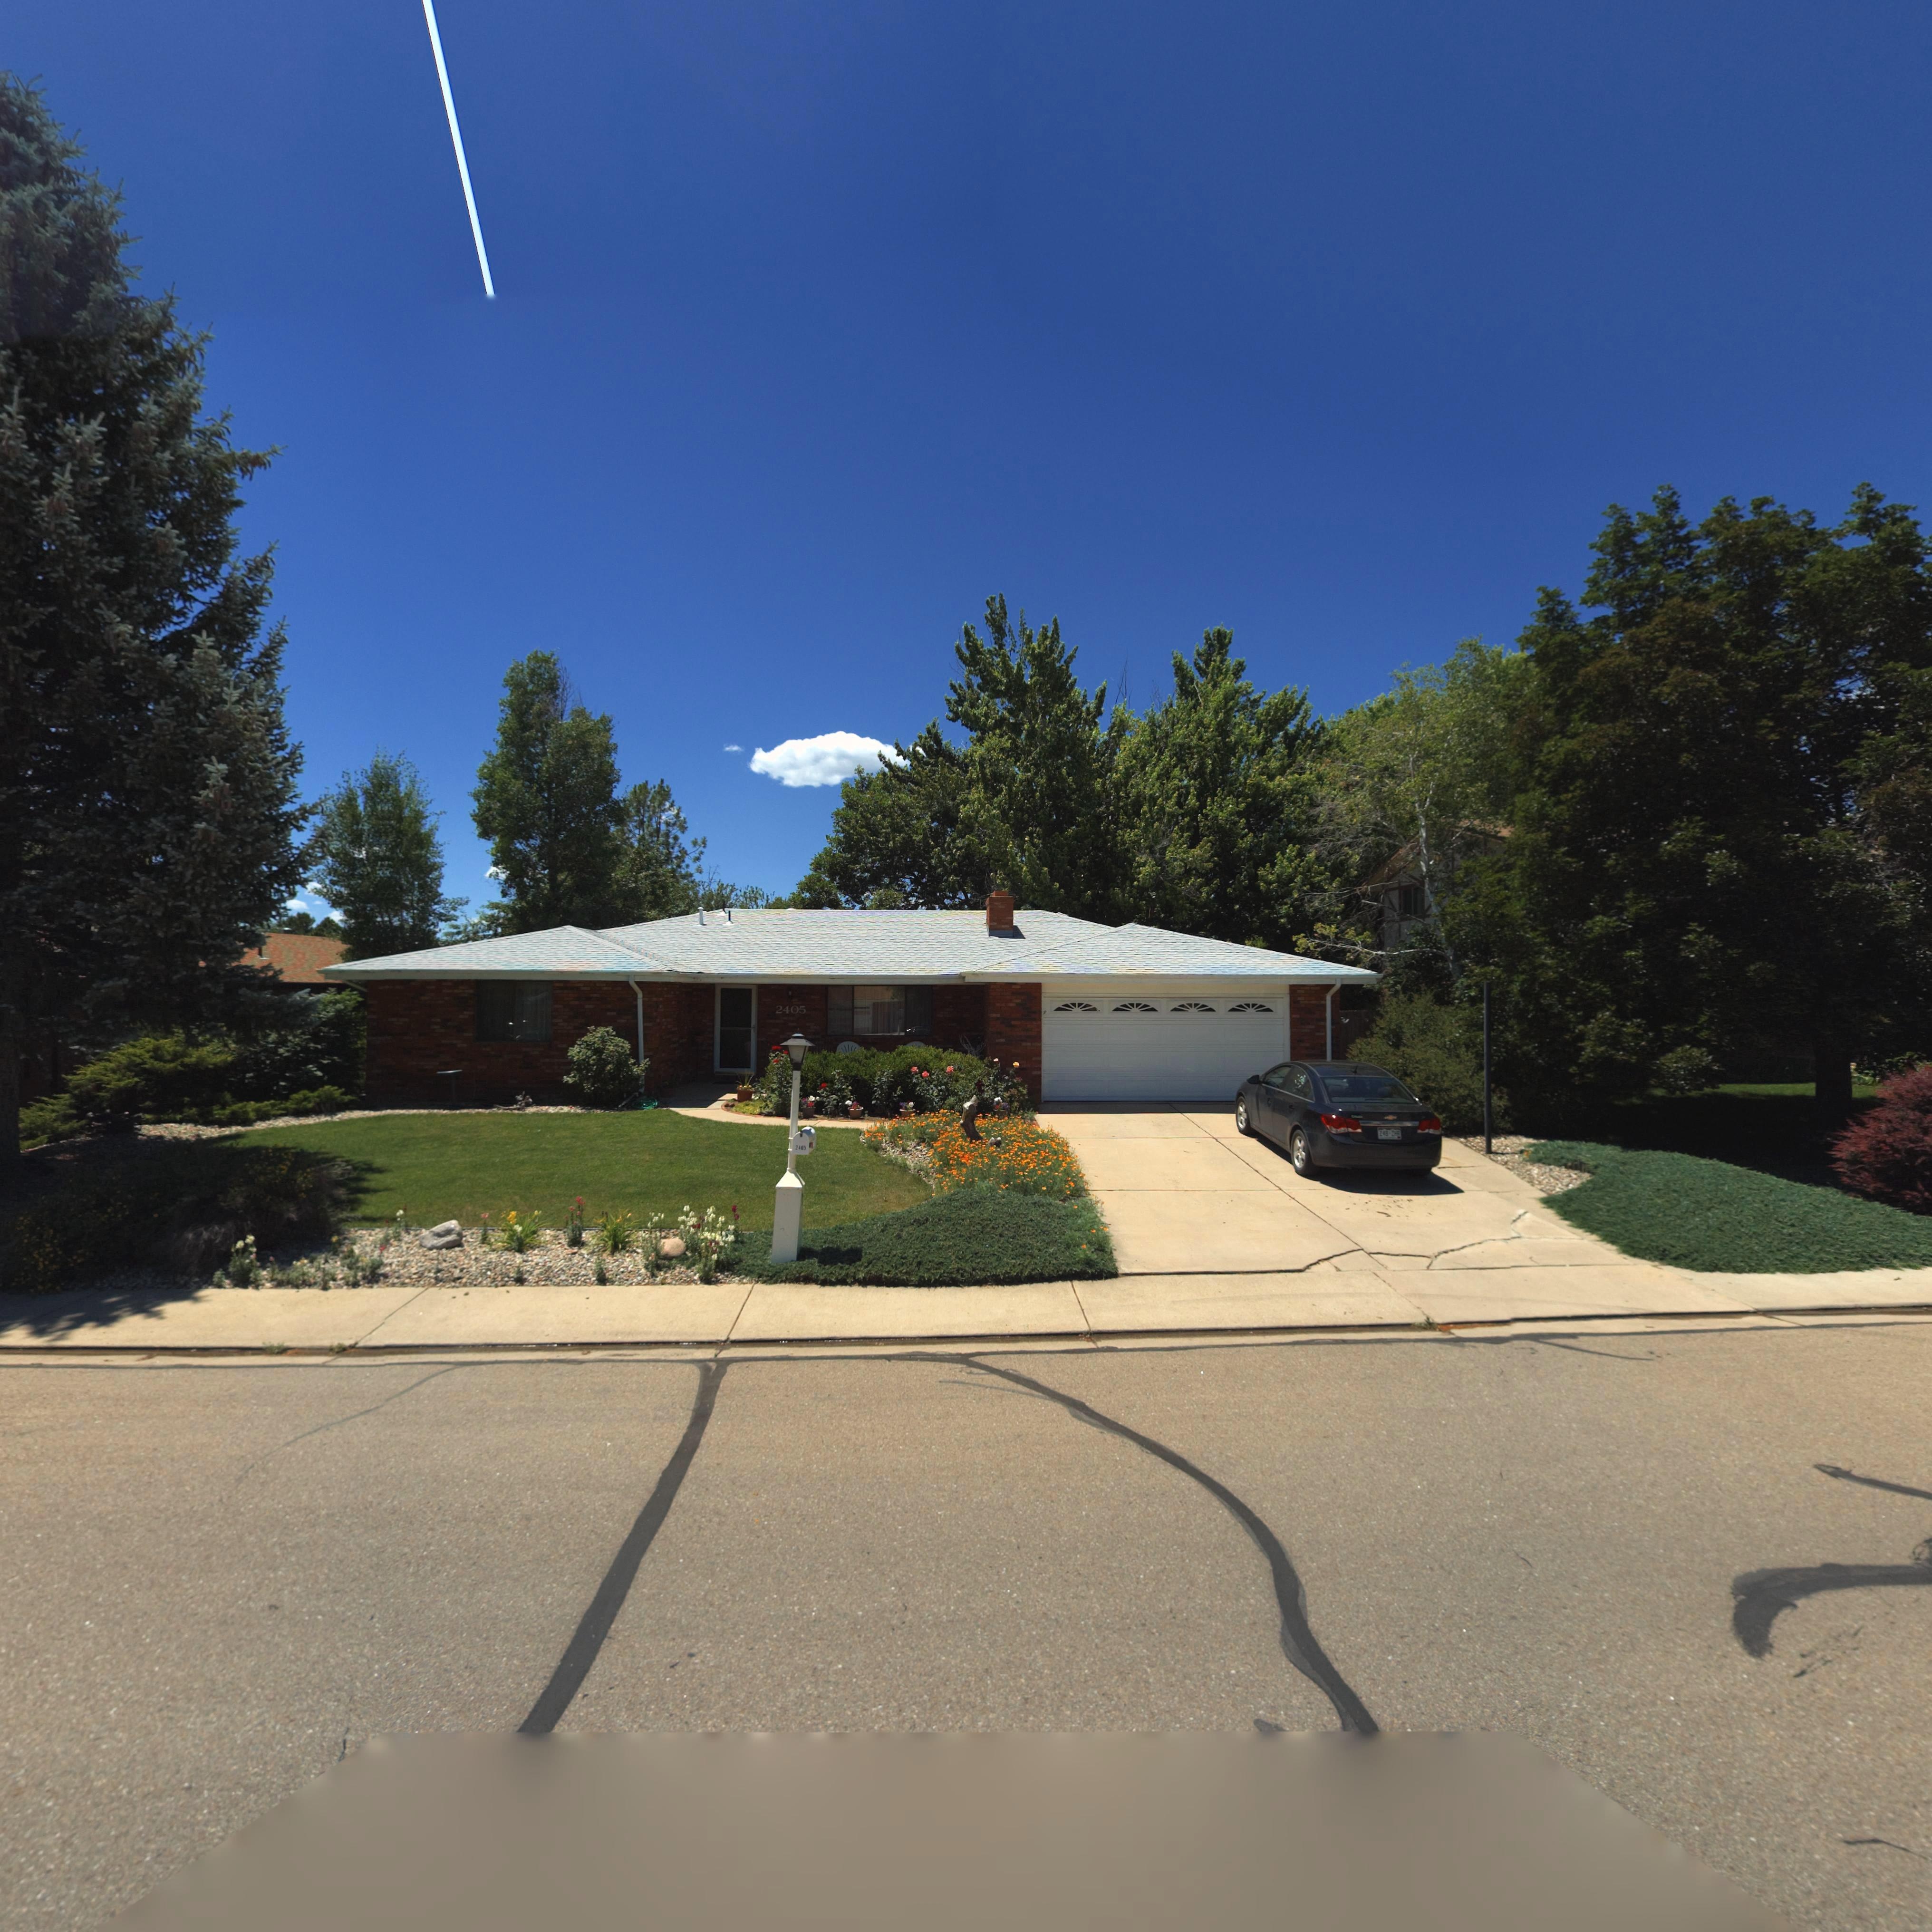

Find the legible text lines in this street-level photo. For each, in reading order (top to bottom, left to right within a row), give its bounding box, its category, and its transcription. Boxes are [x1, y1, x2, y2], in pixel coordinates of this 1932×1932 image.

[775, 1005, 806, 1014] StreetNumber: 2405
[795, 1145, 806, 1150] StreetNumber: 2405